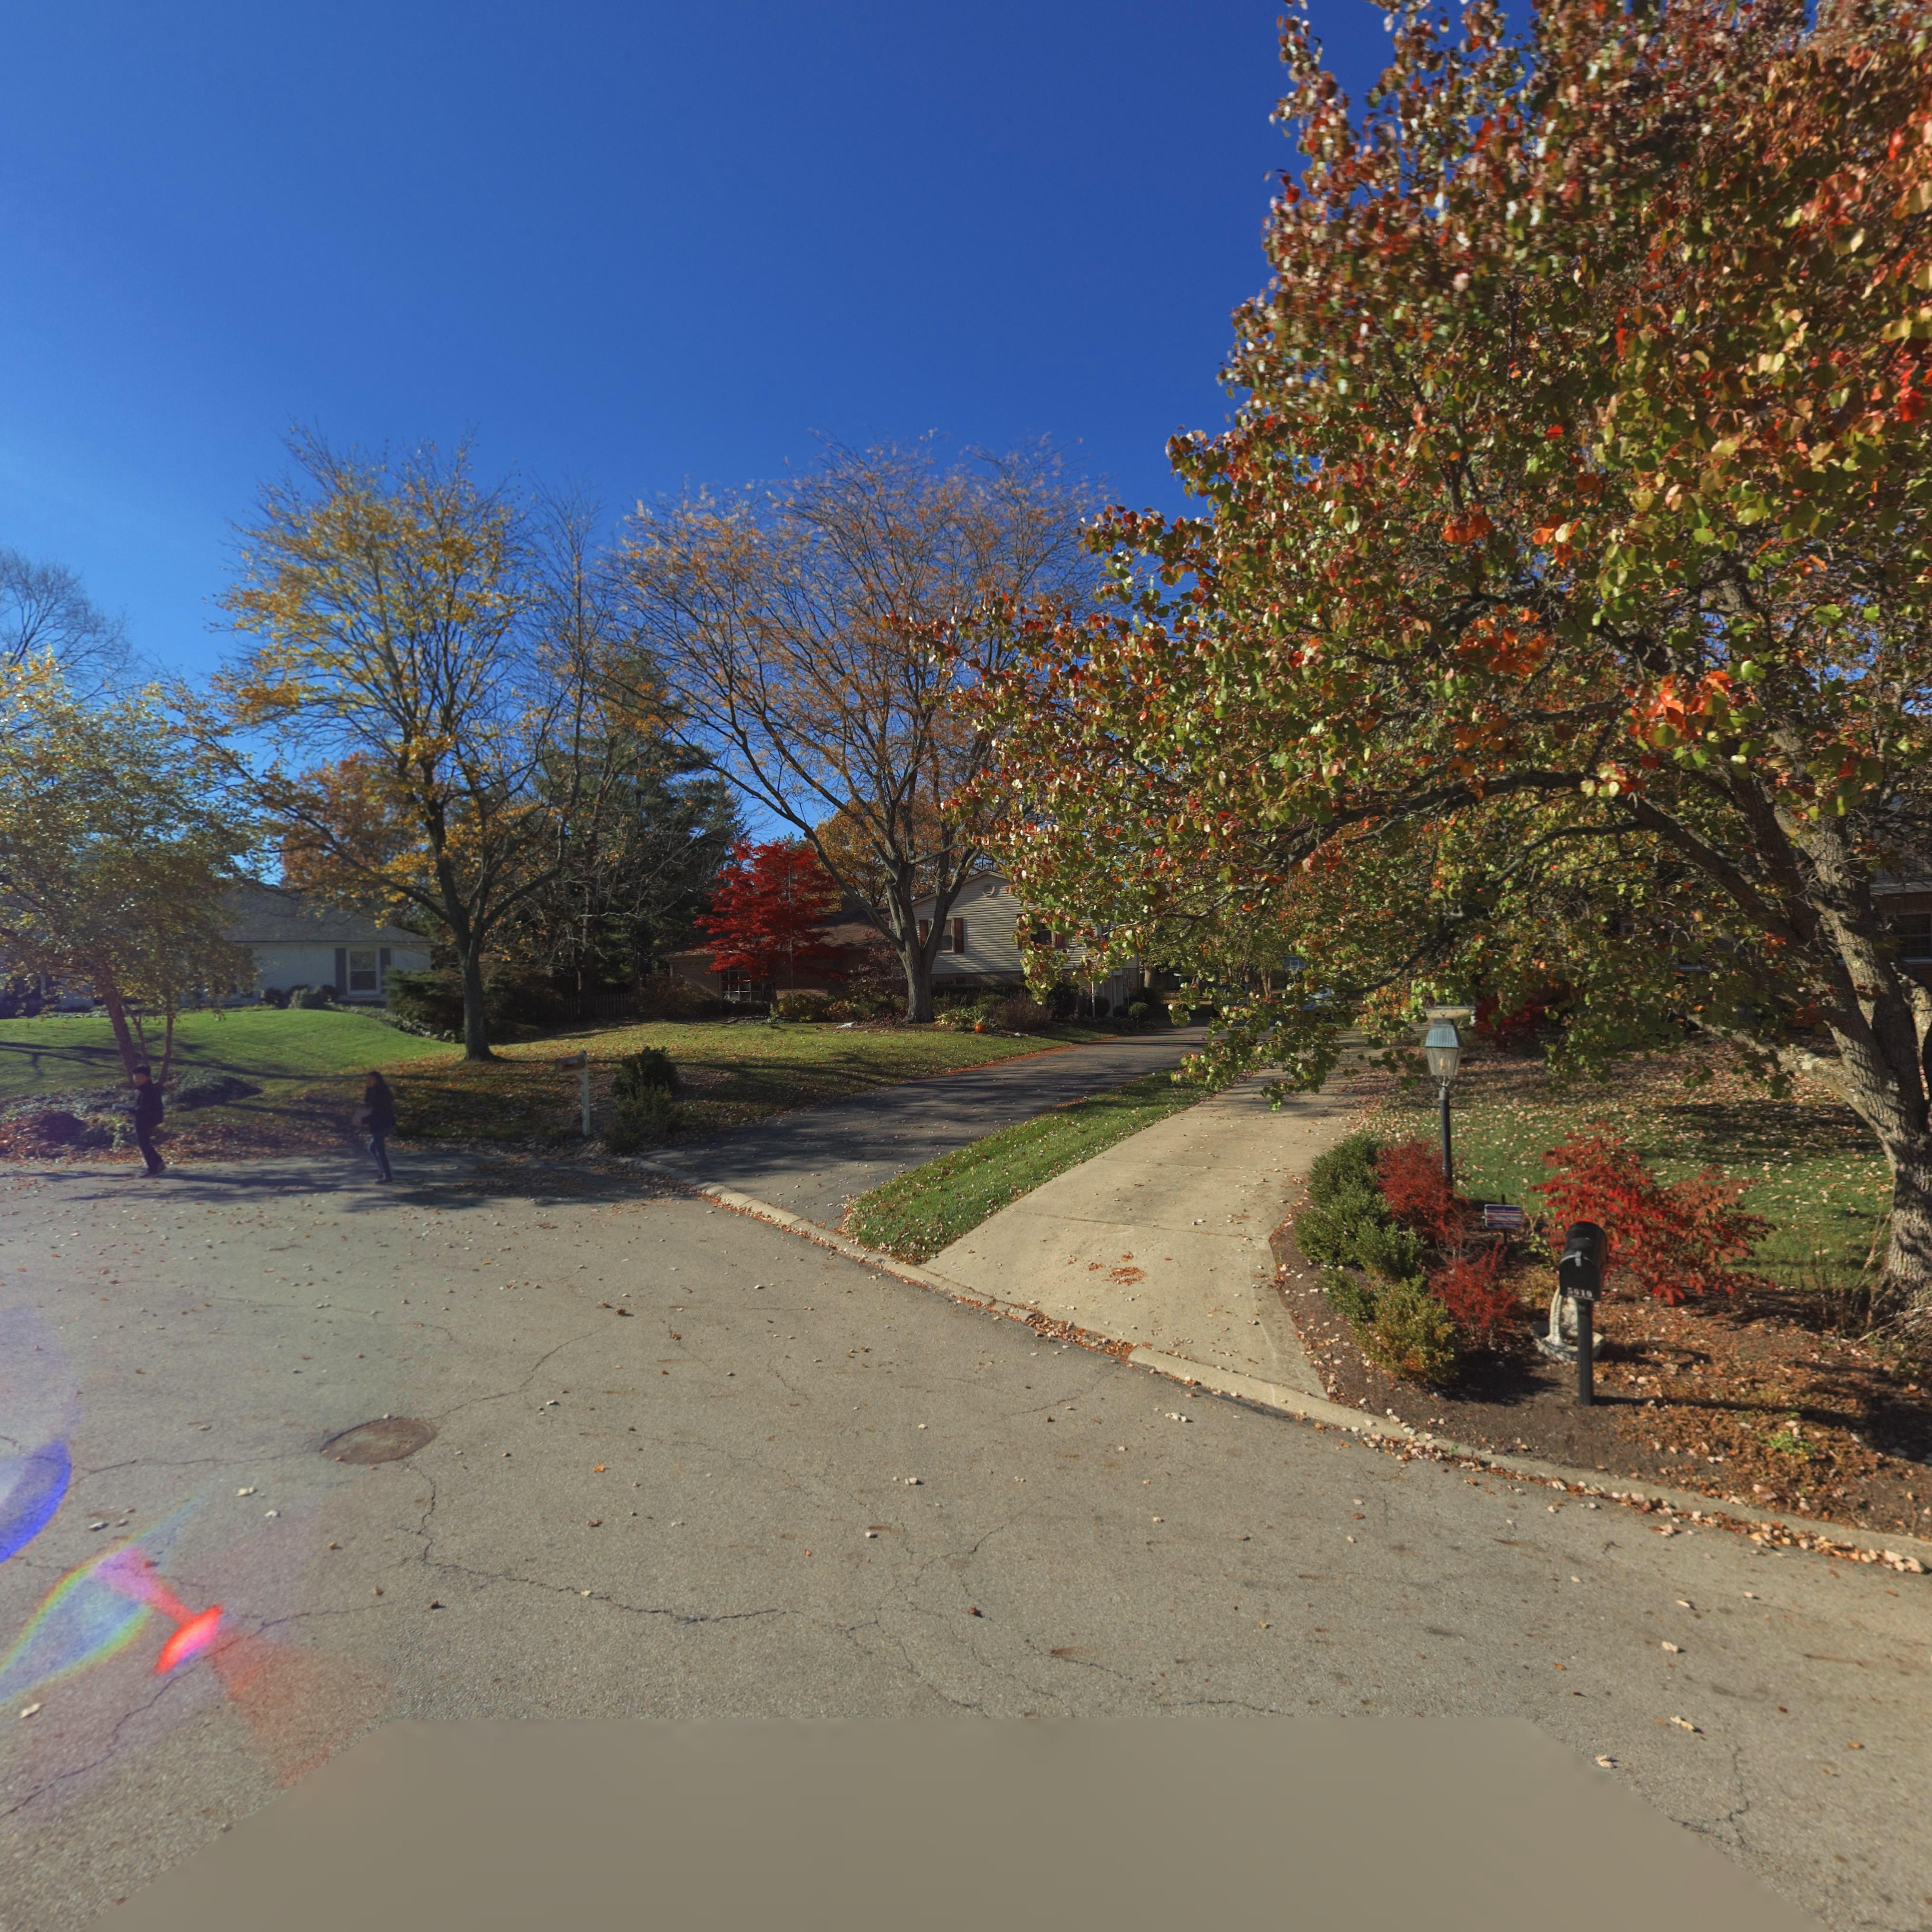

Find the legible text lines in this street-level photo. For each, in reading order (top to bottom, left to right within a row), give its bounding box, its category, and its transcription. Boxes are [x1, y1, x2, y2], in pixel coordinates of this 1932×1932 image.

[1566, 1285, 1593, 1299] StreetNumber: 5919